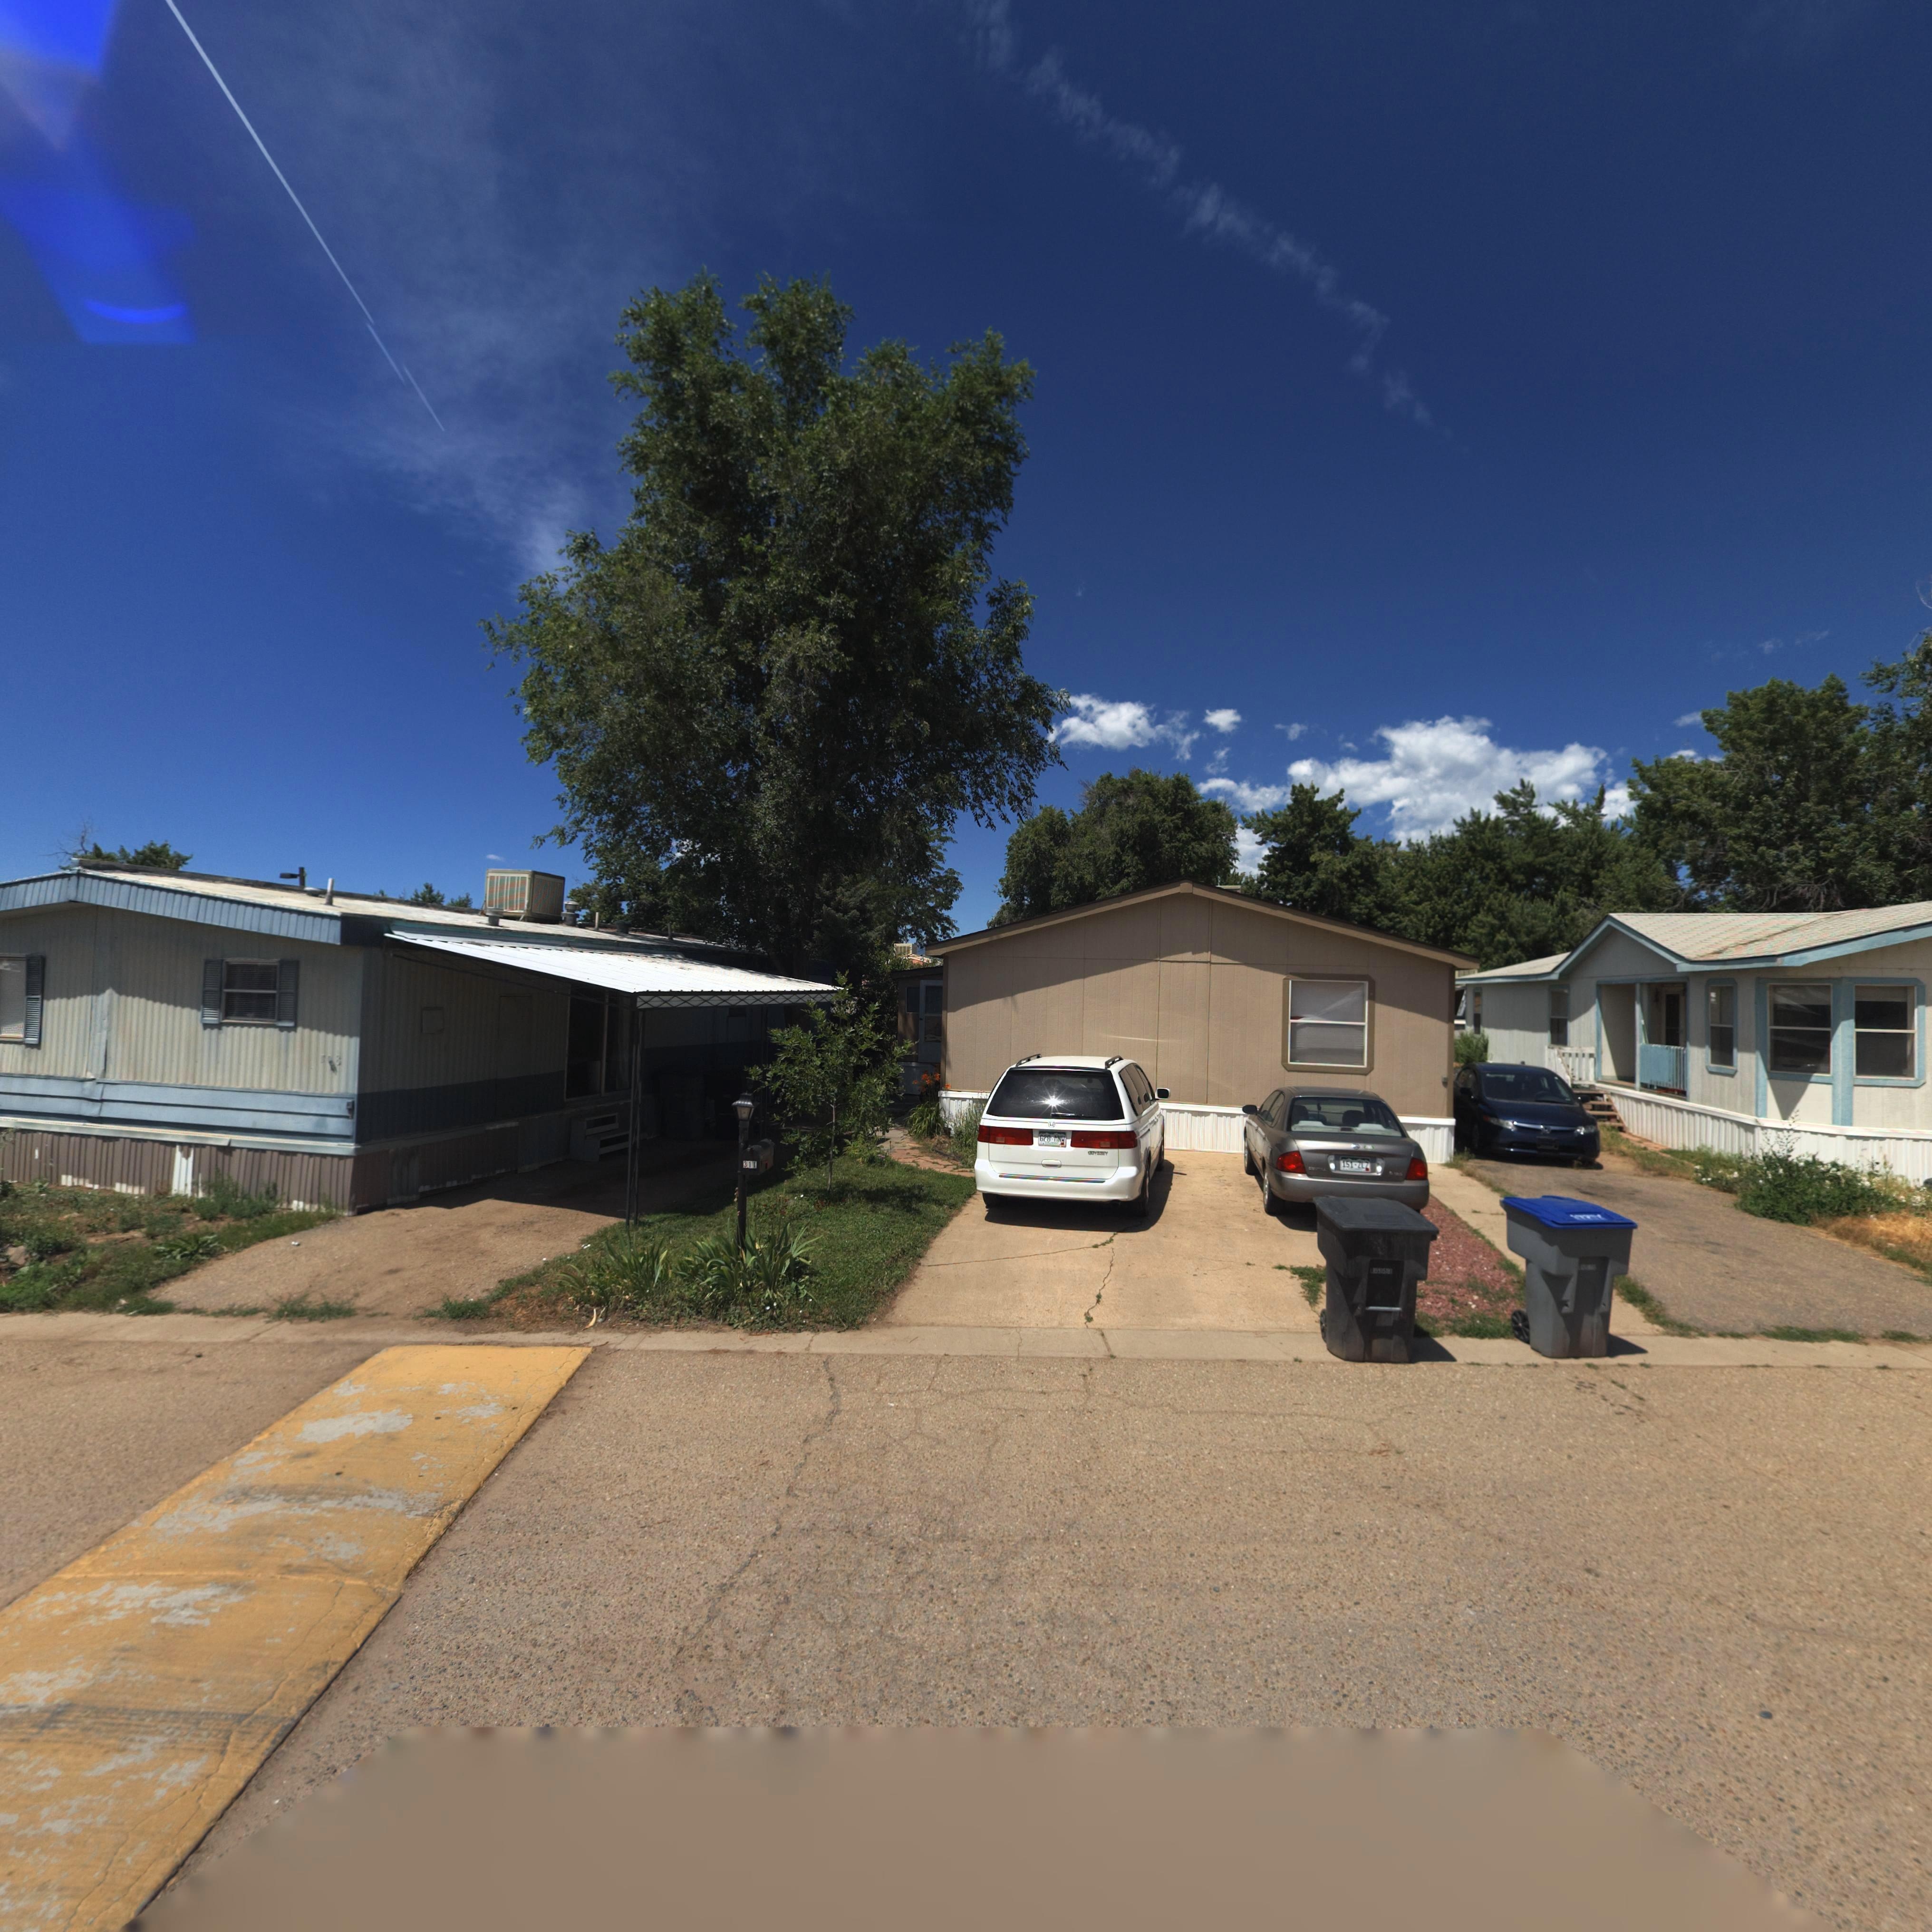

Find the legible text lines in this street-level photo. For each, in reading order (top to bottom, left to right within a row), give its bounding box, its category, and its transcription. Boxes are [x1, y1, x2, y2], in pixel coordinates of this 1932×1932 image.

[744, 1161, 755, 1168] StreetNumber: 311